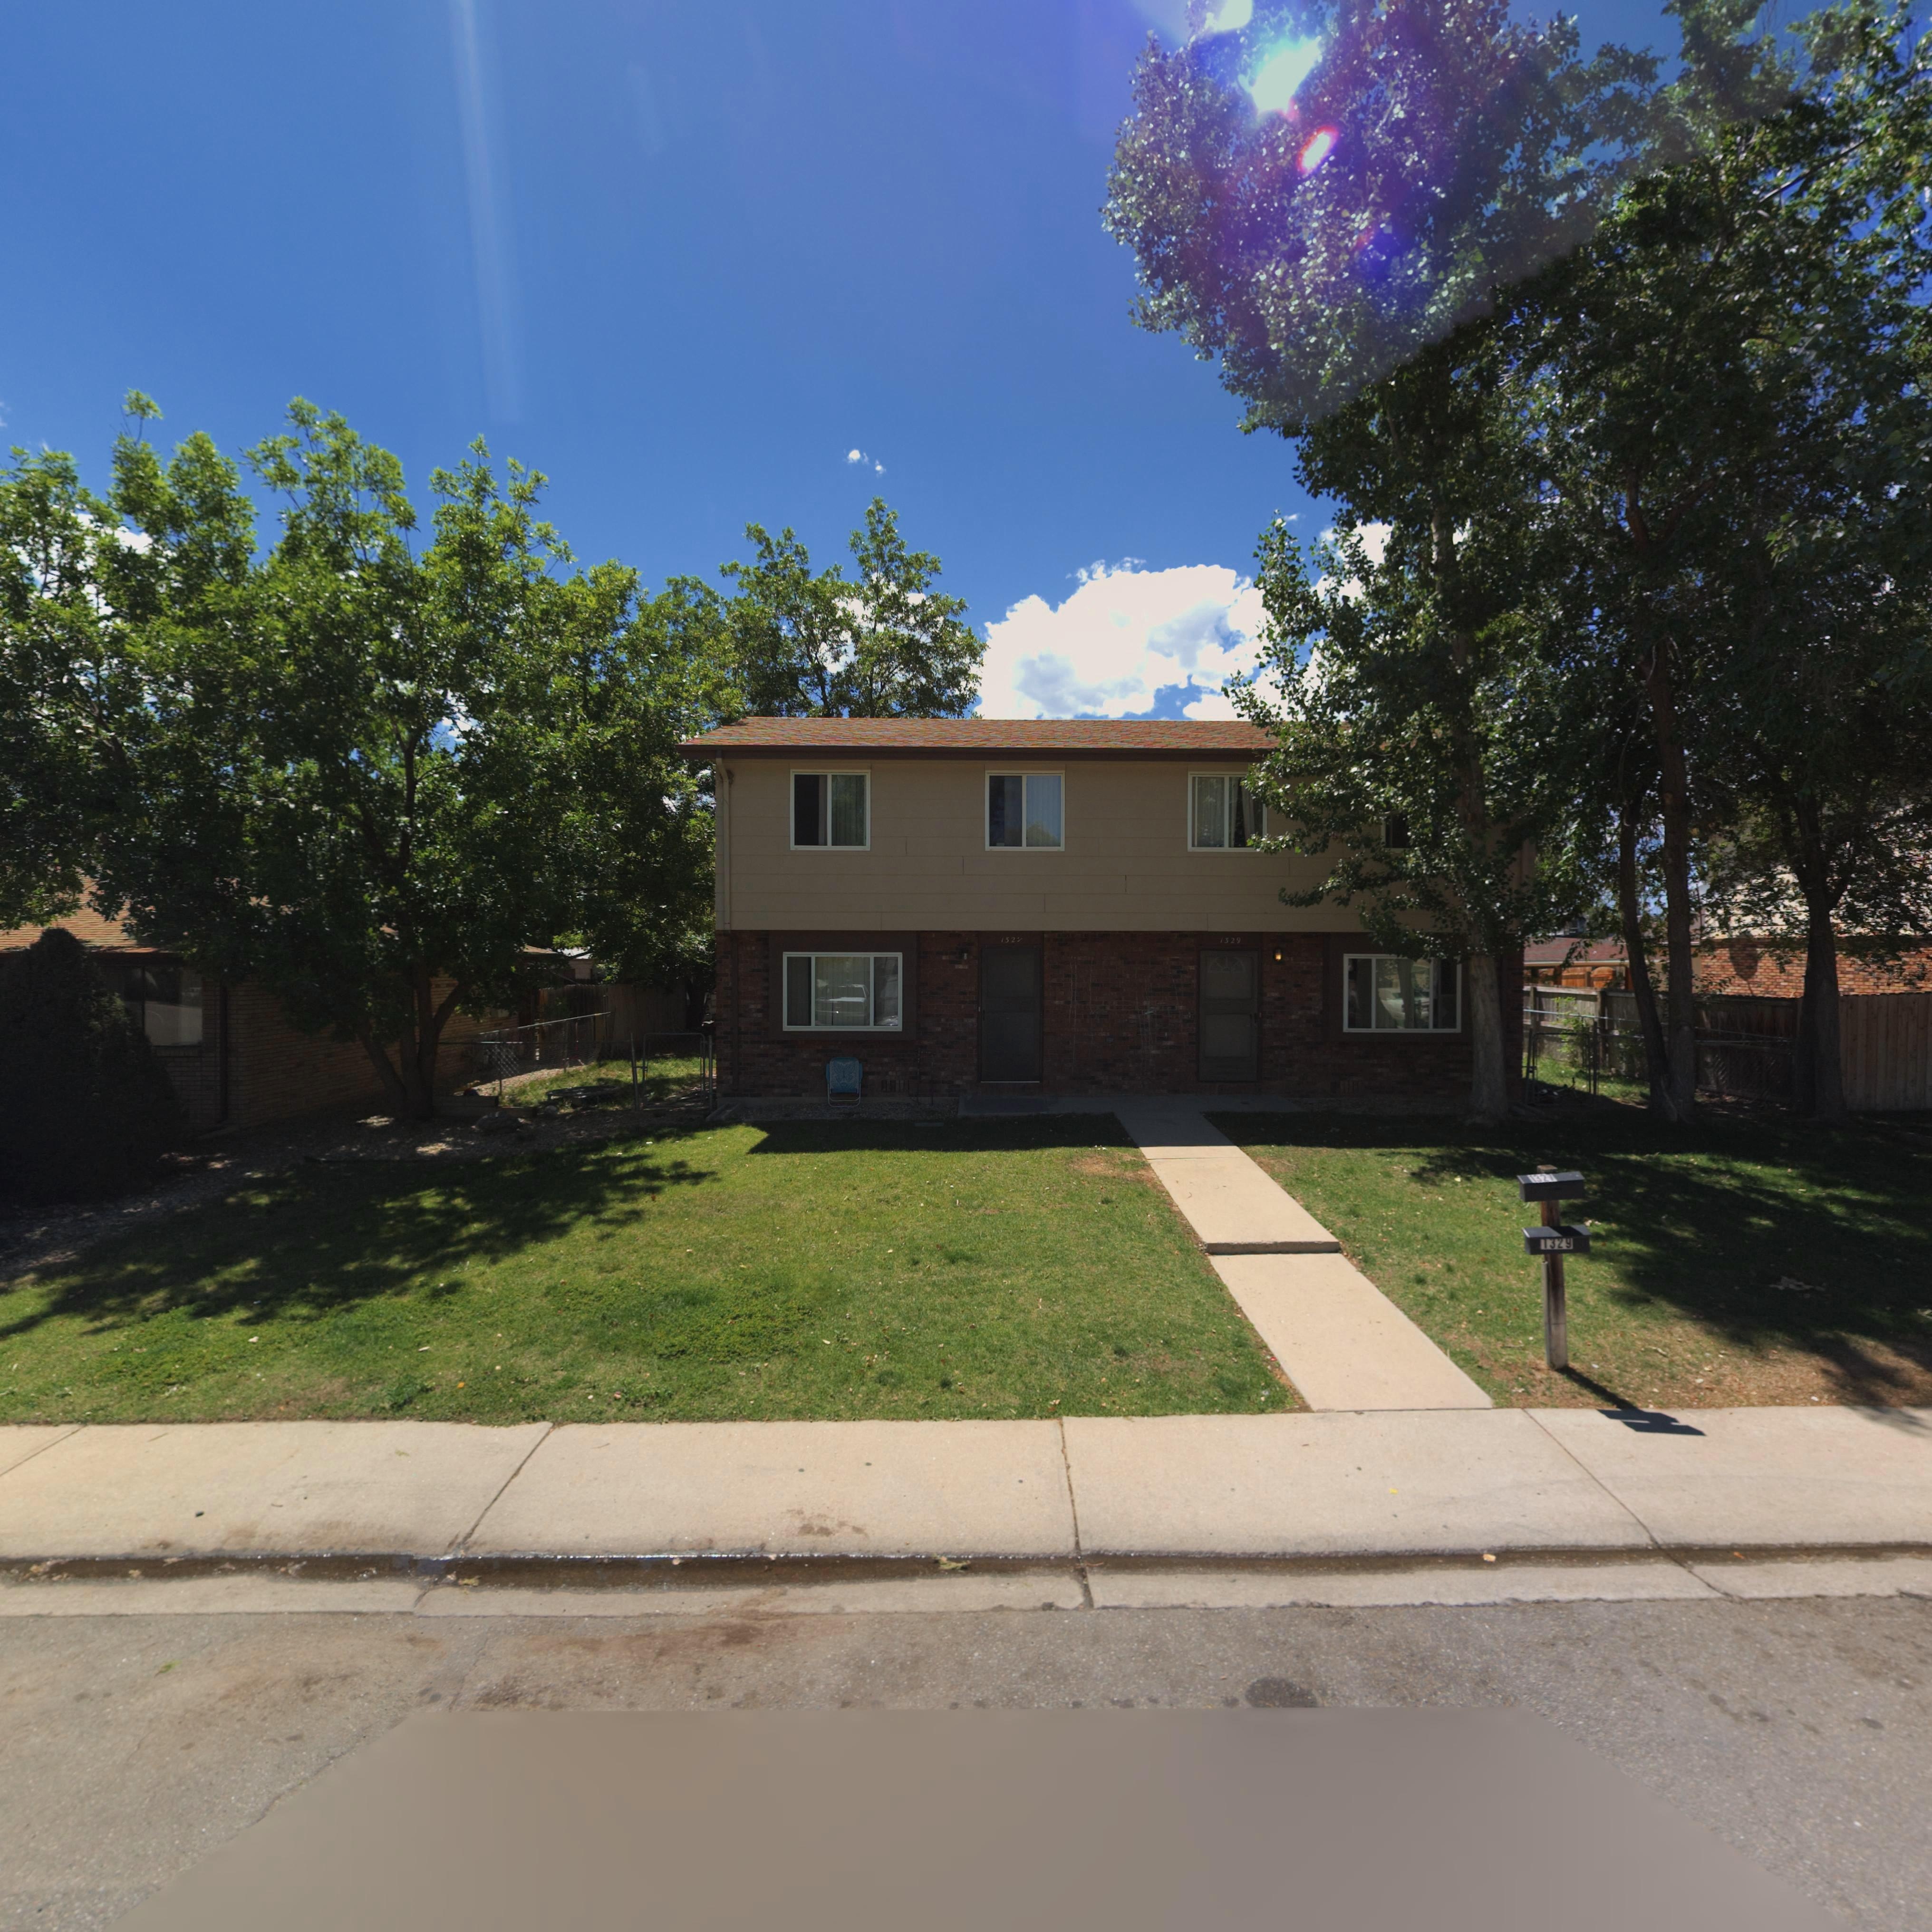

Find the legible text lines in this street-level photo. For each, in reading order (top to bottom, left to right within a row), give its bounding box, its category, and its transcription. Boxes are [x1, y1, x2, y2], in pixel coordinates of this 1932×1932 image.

[1001, 937, 1023, 943] StreetNumber: 1327
[1219, 937, 1241, 944] StreetNumber: 1329
[1528, 1172, 1555, 1183] StreetNumber: 1327
[1543, 1236, 1572, 1248] StreetNumber: 1329